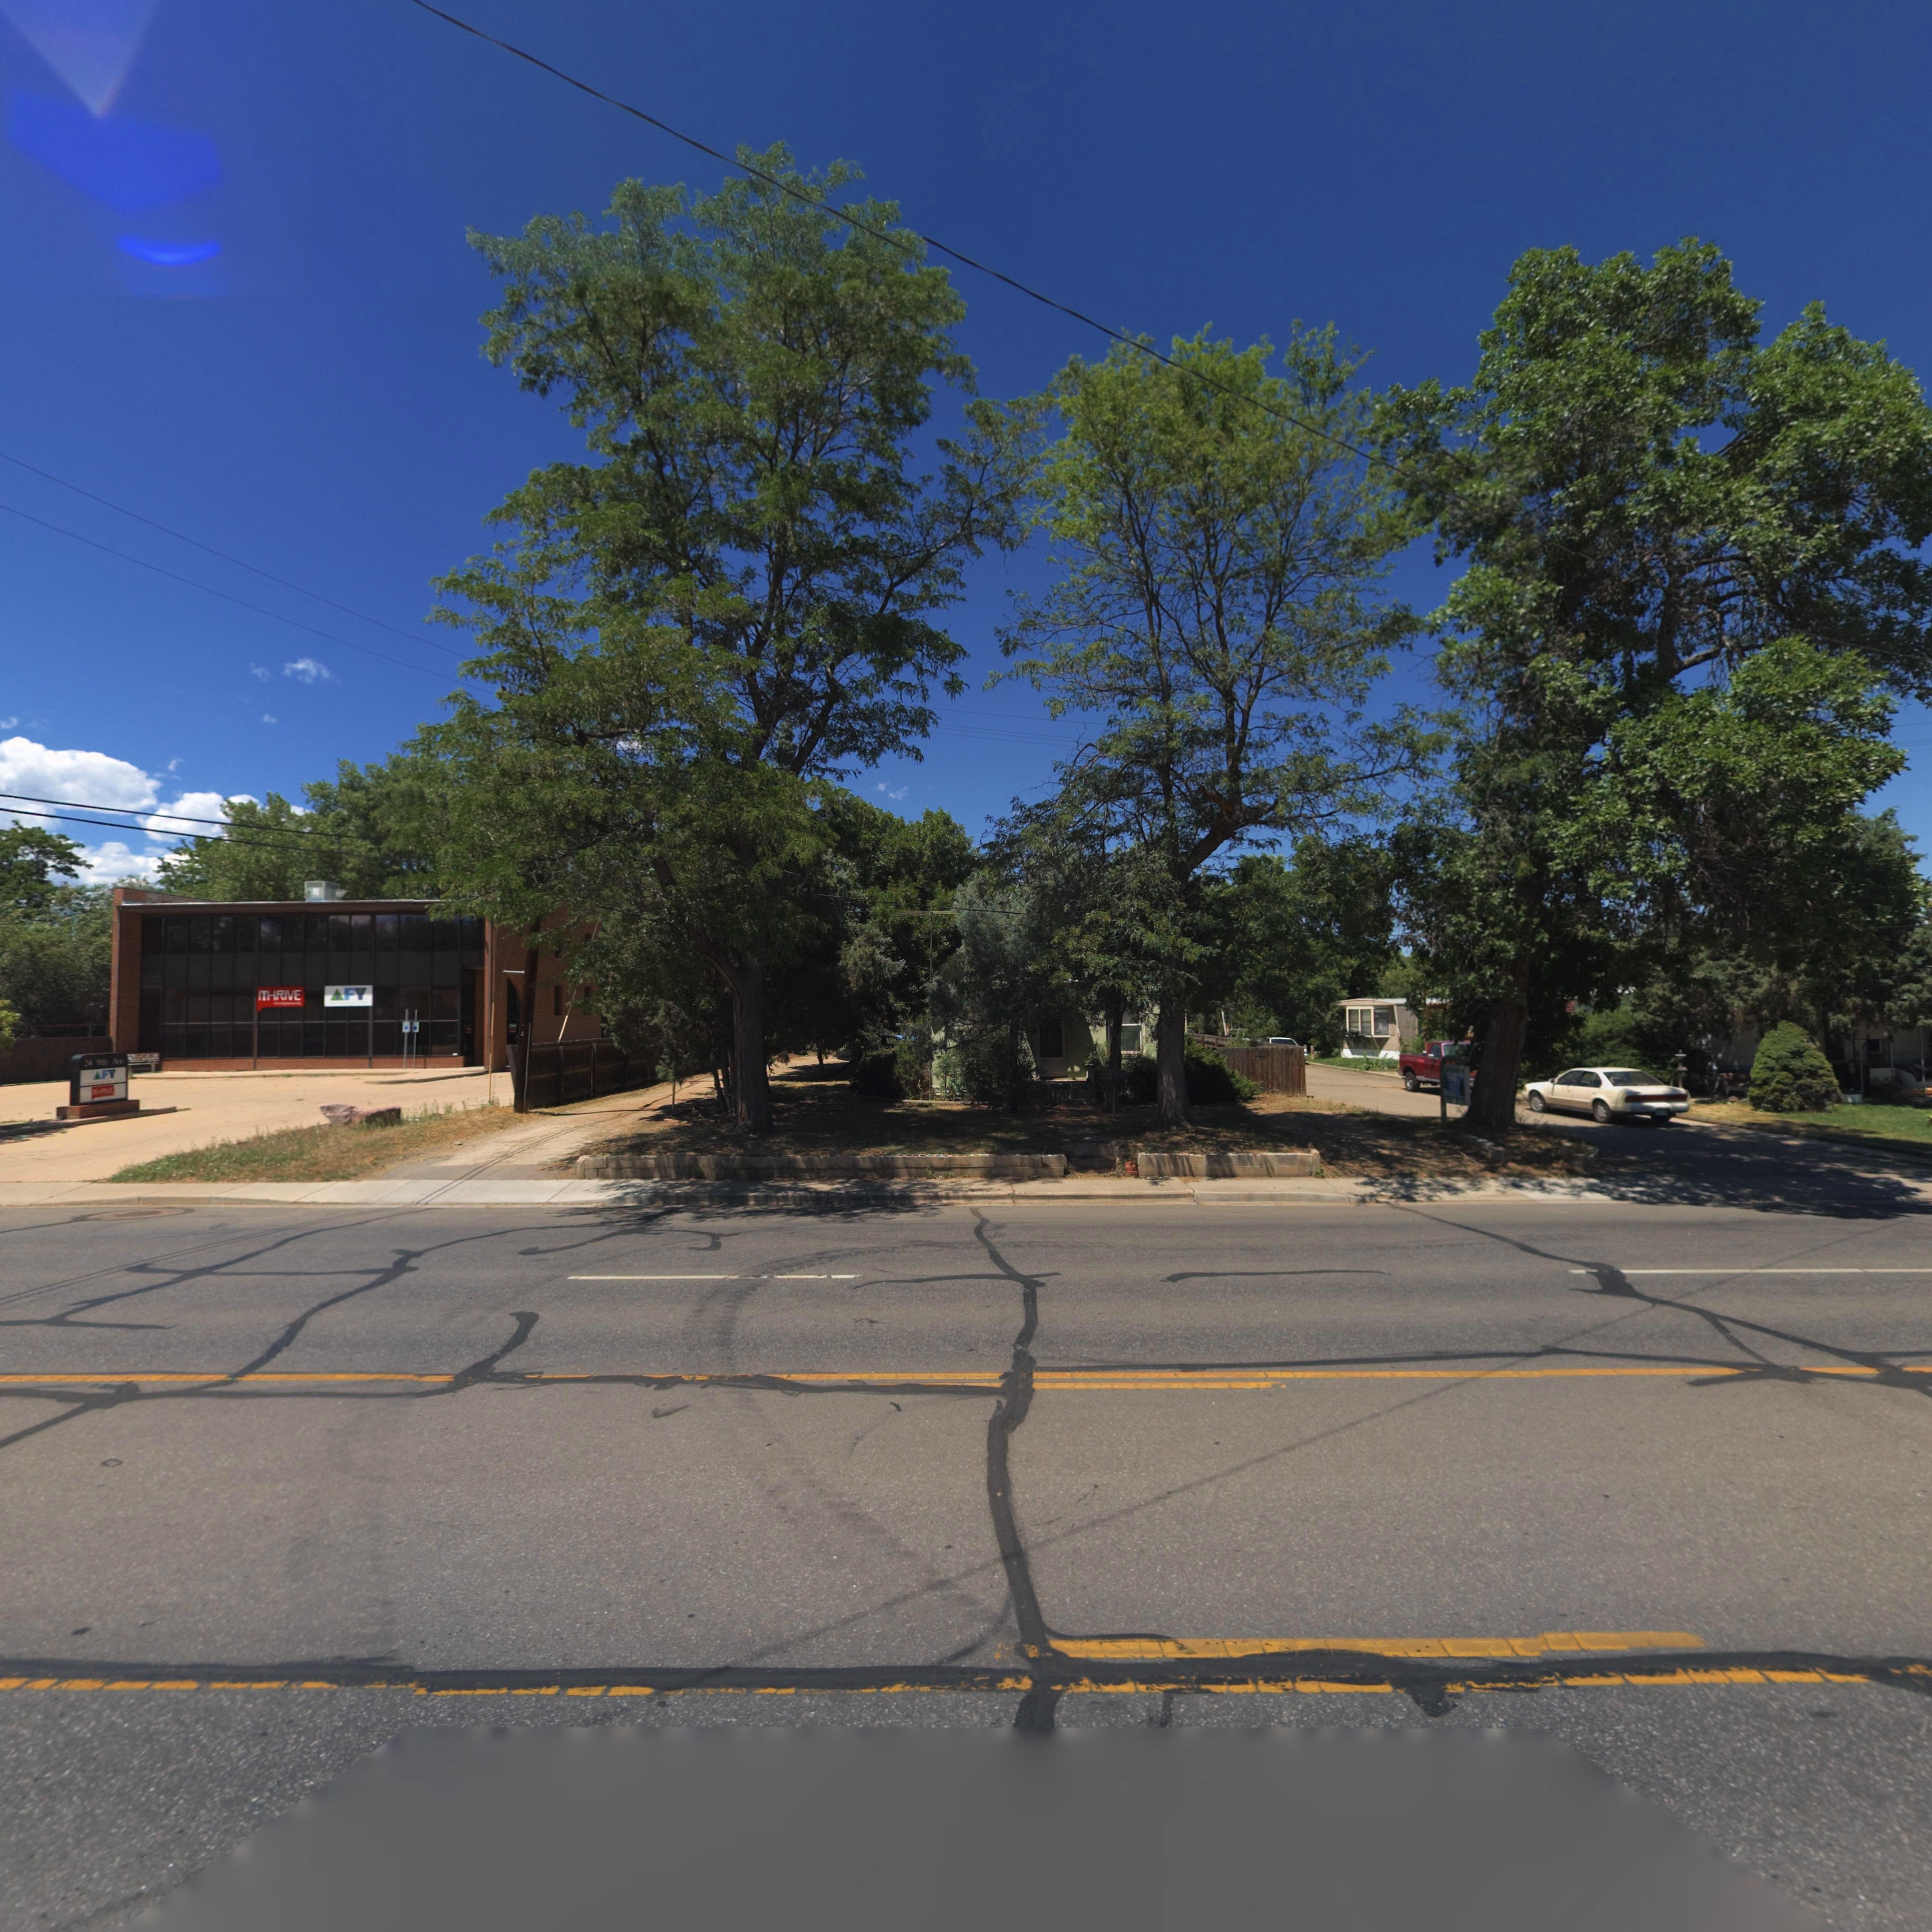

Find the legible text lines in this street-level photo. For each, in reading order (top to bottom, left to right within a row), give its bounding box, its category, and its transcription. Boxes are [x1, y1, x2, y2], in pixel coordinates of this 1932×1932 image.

[258, 989, 301, 1001] BusinessName: ITHRIVE
[330, 987, 367, 1001] BusinessName: AFY
[83, 1058, 93, 1067] StreetNumber: 24
[95, 1057, 124, 1066] StreetName: 9th Ave
[92, 1069, 116, 1080] BusinessName: AFY
[91, 1087, 113, 1095] BusinessName: *TH*IVE